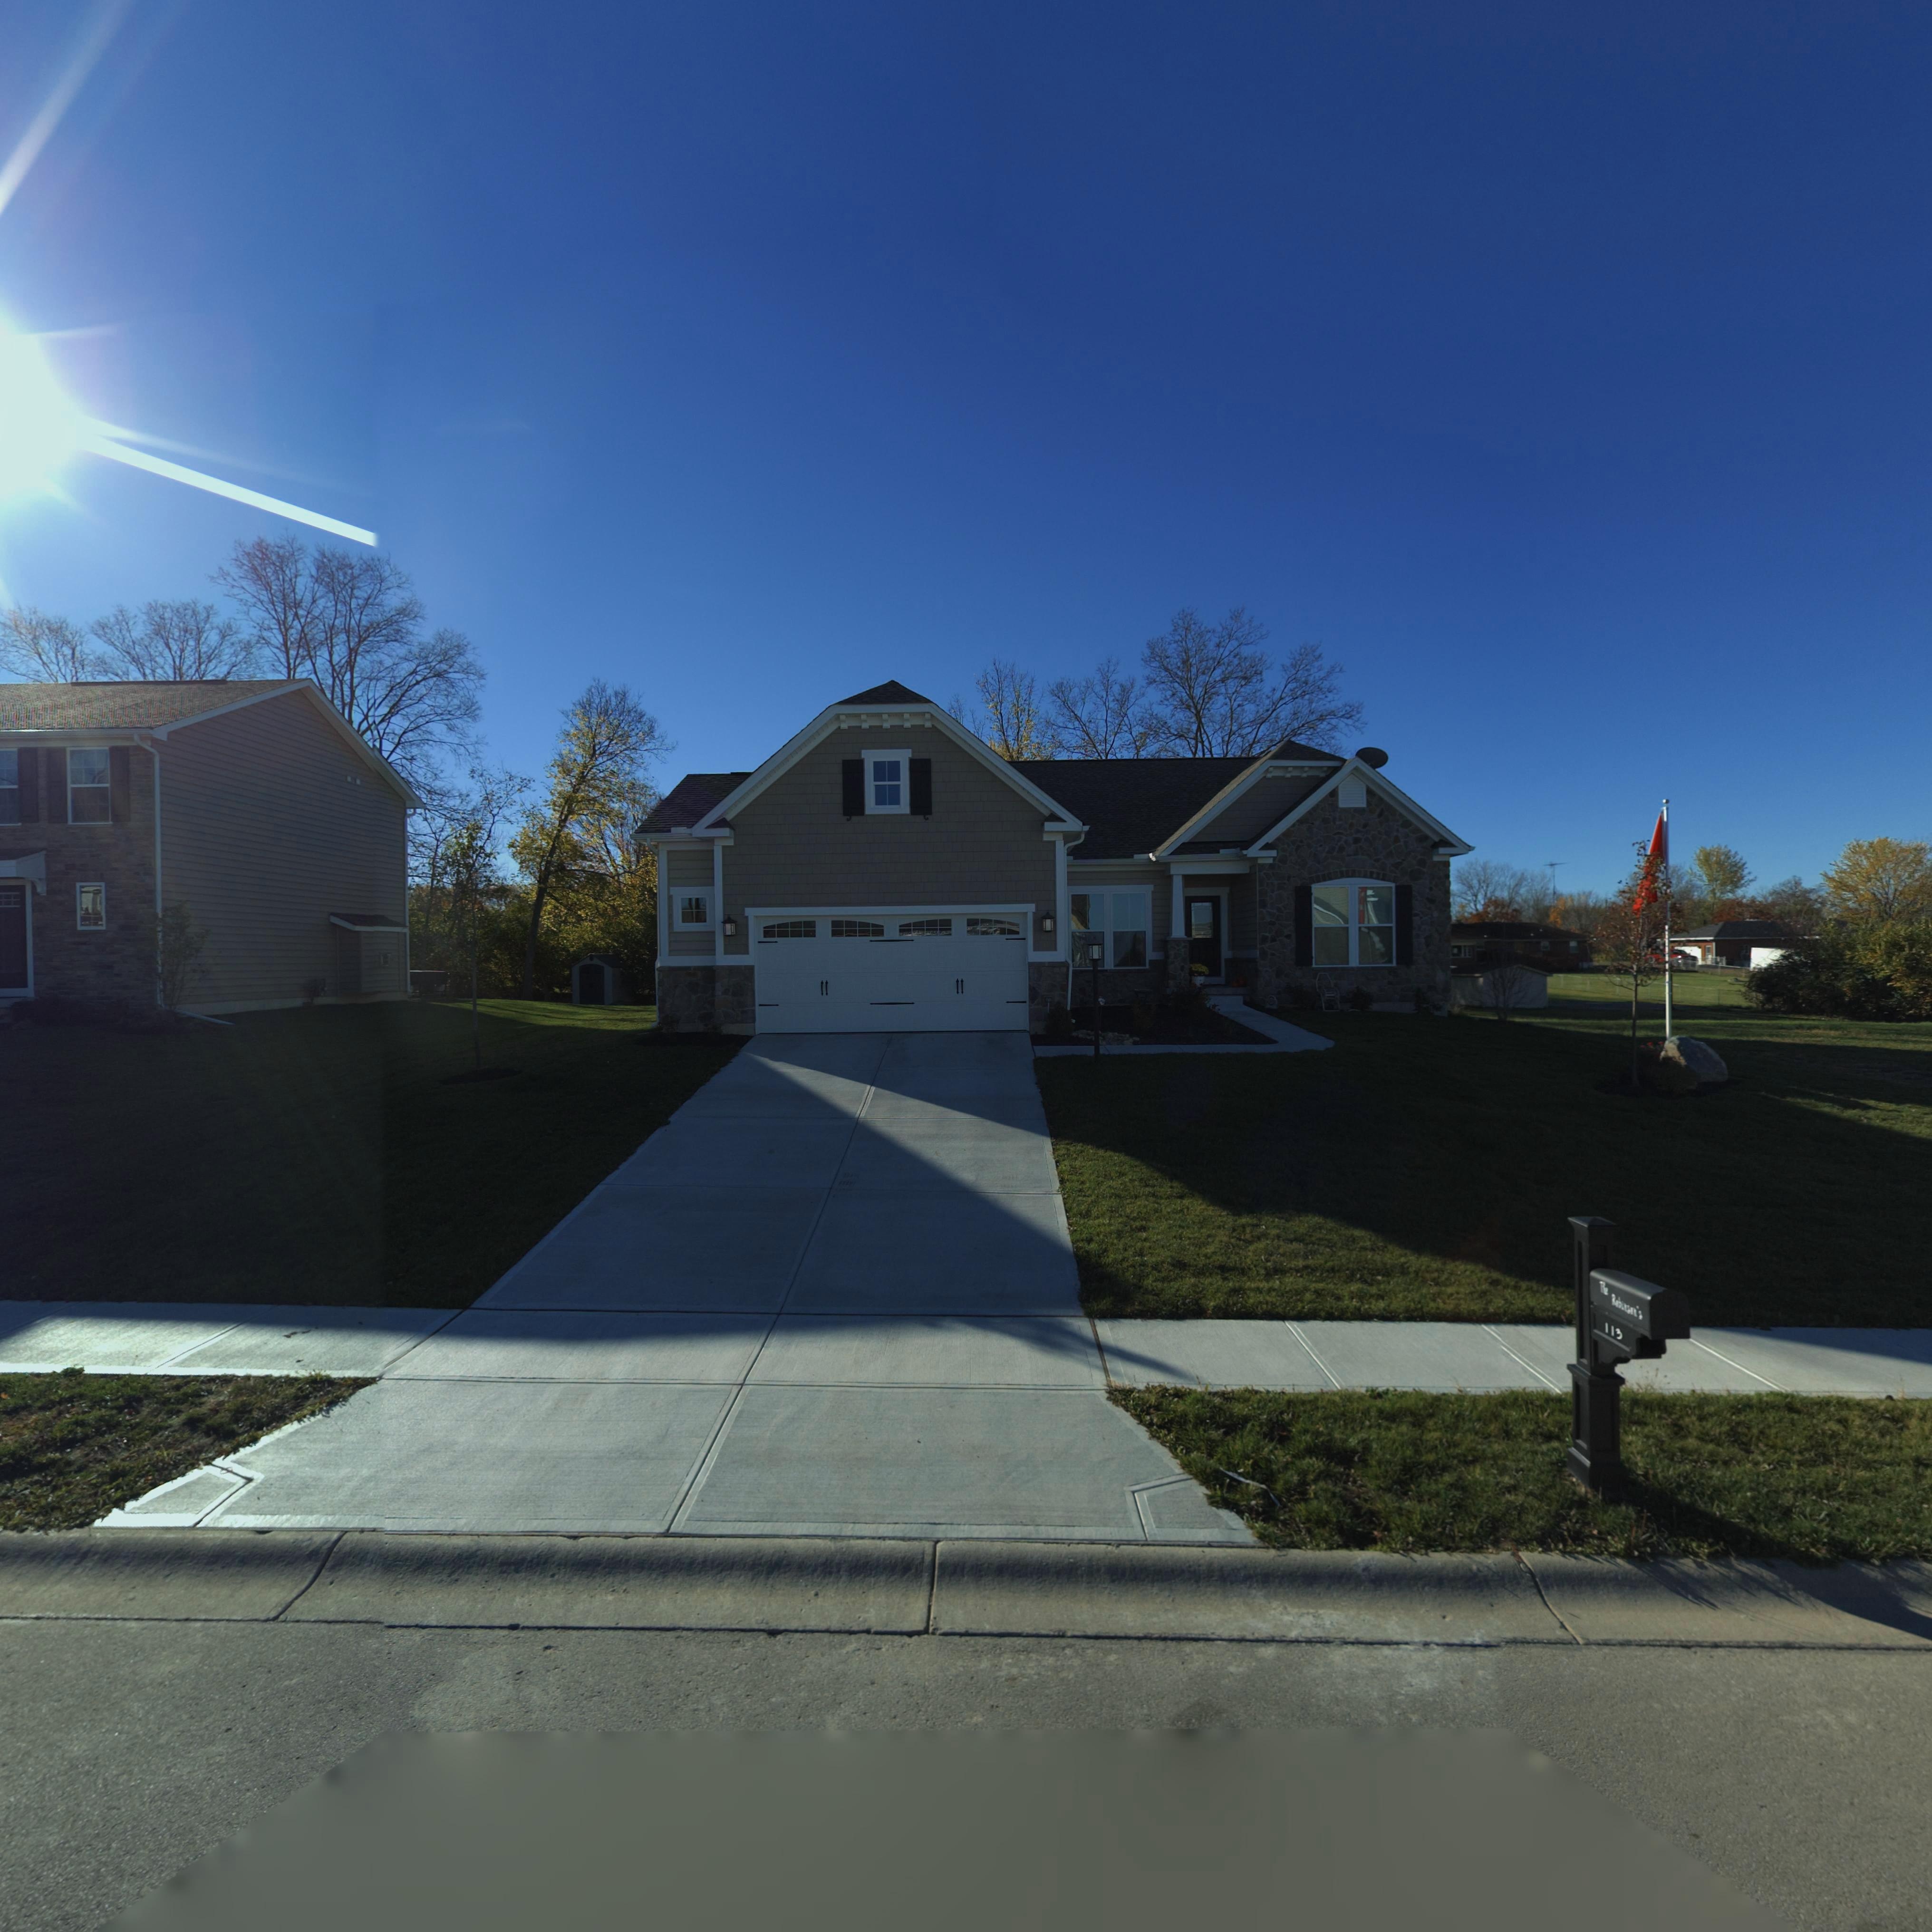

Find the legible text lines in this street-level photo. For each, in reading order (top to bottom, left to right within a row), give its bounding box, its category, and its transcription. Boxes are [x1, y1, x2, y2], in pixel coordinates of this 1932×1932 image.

[1604, 1320, 1624, 1343] StreetNumber: 113